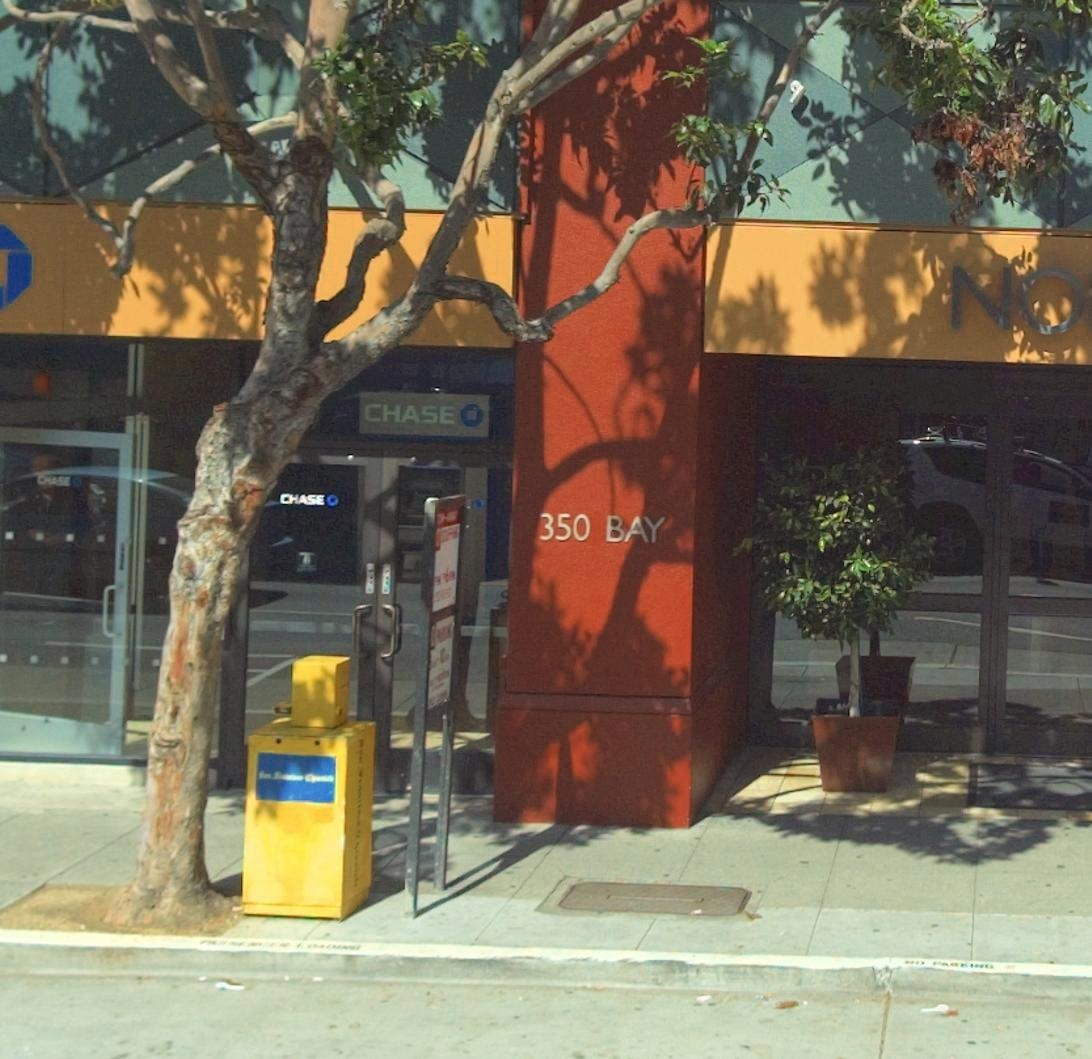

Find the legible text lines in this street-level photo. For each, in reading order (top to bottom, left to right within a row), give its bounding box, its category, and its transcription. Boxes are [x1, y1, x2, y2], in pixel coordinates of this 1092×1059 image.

[950, 263, 1084, 338] None: NO
[363, 402, 457, 427] BusinessName: CHASE
[279, 492, 325, 507] BusinessName: CHASE
[539, 511, 592, 542] StreetNumber: 350
[604, 514, 665, 543] StreetName: BAY